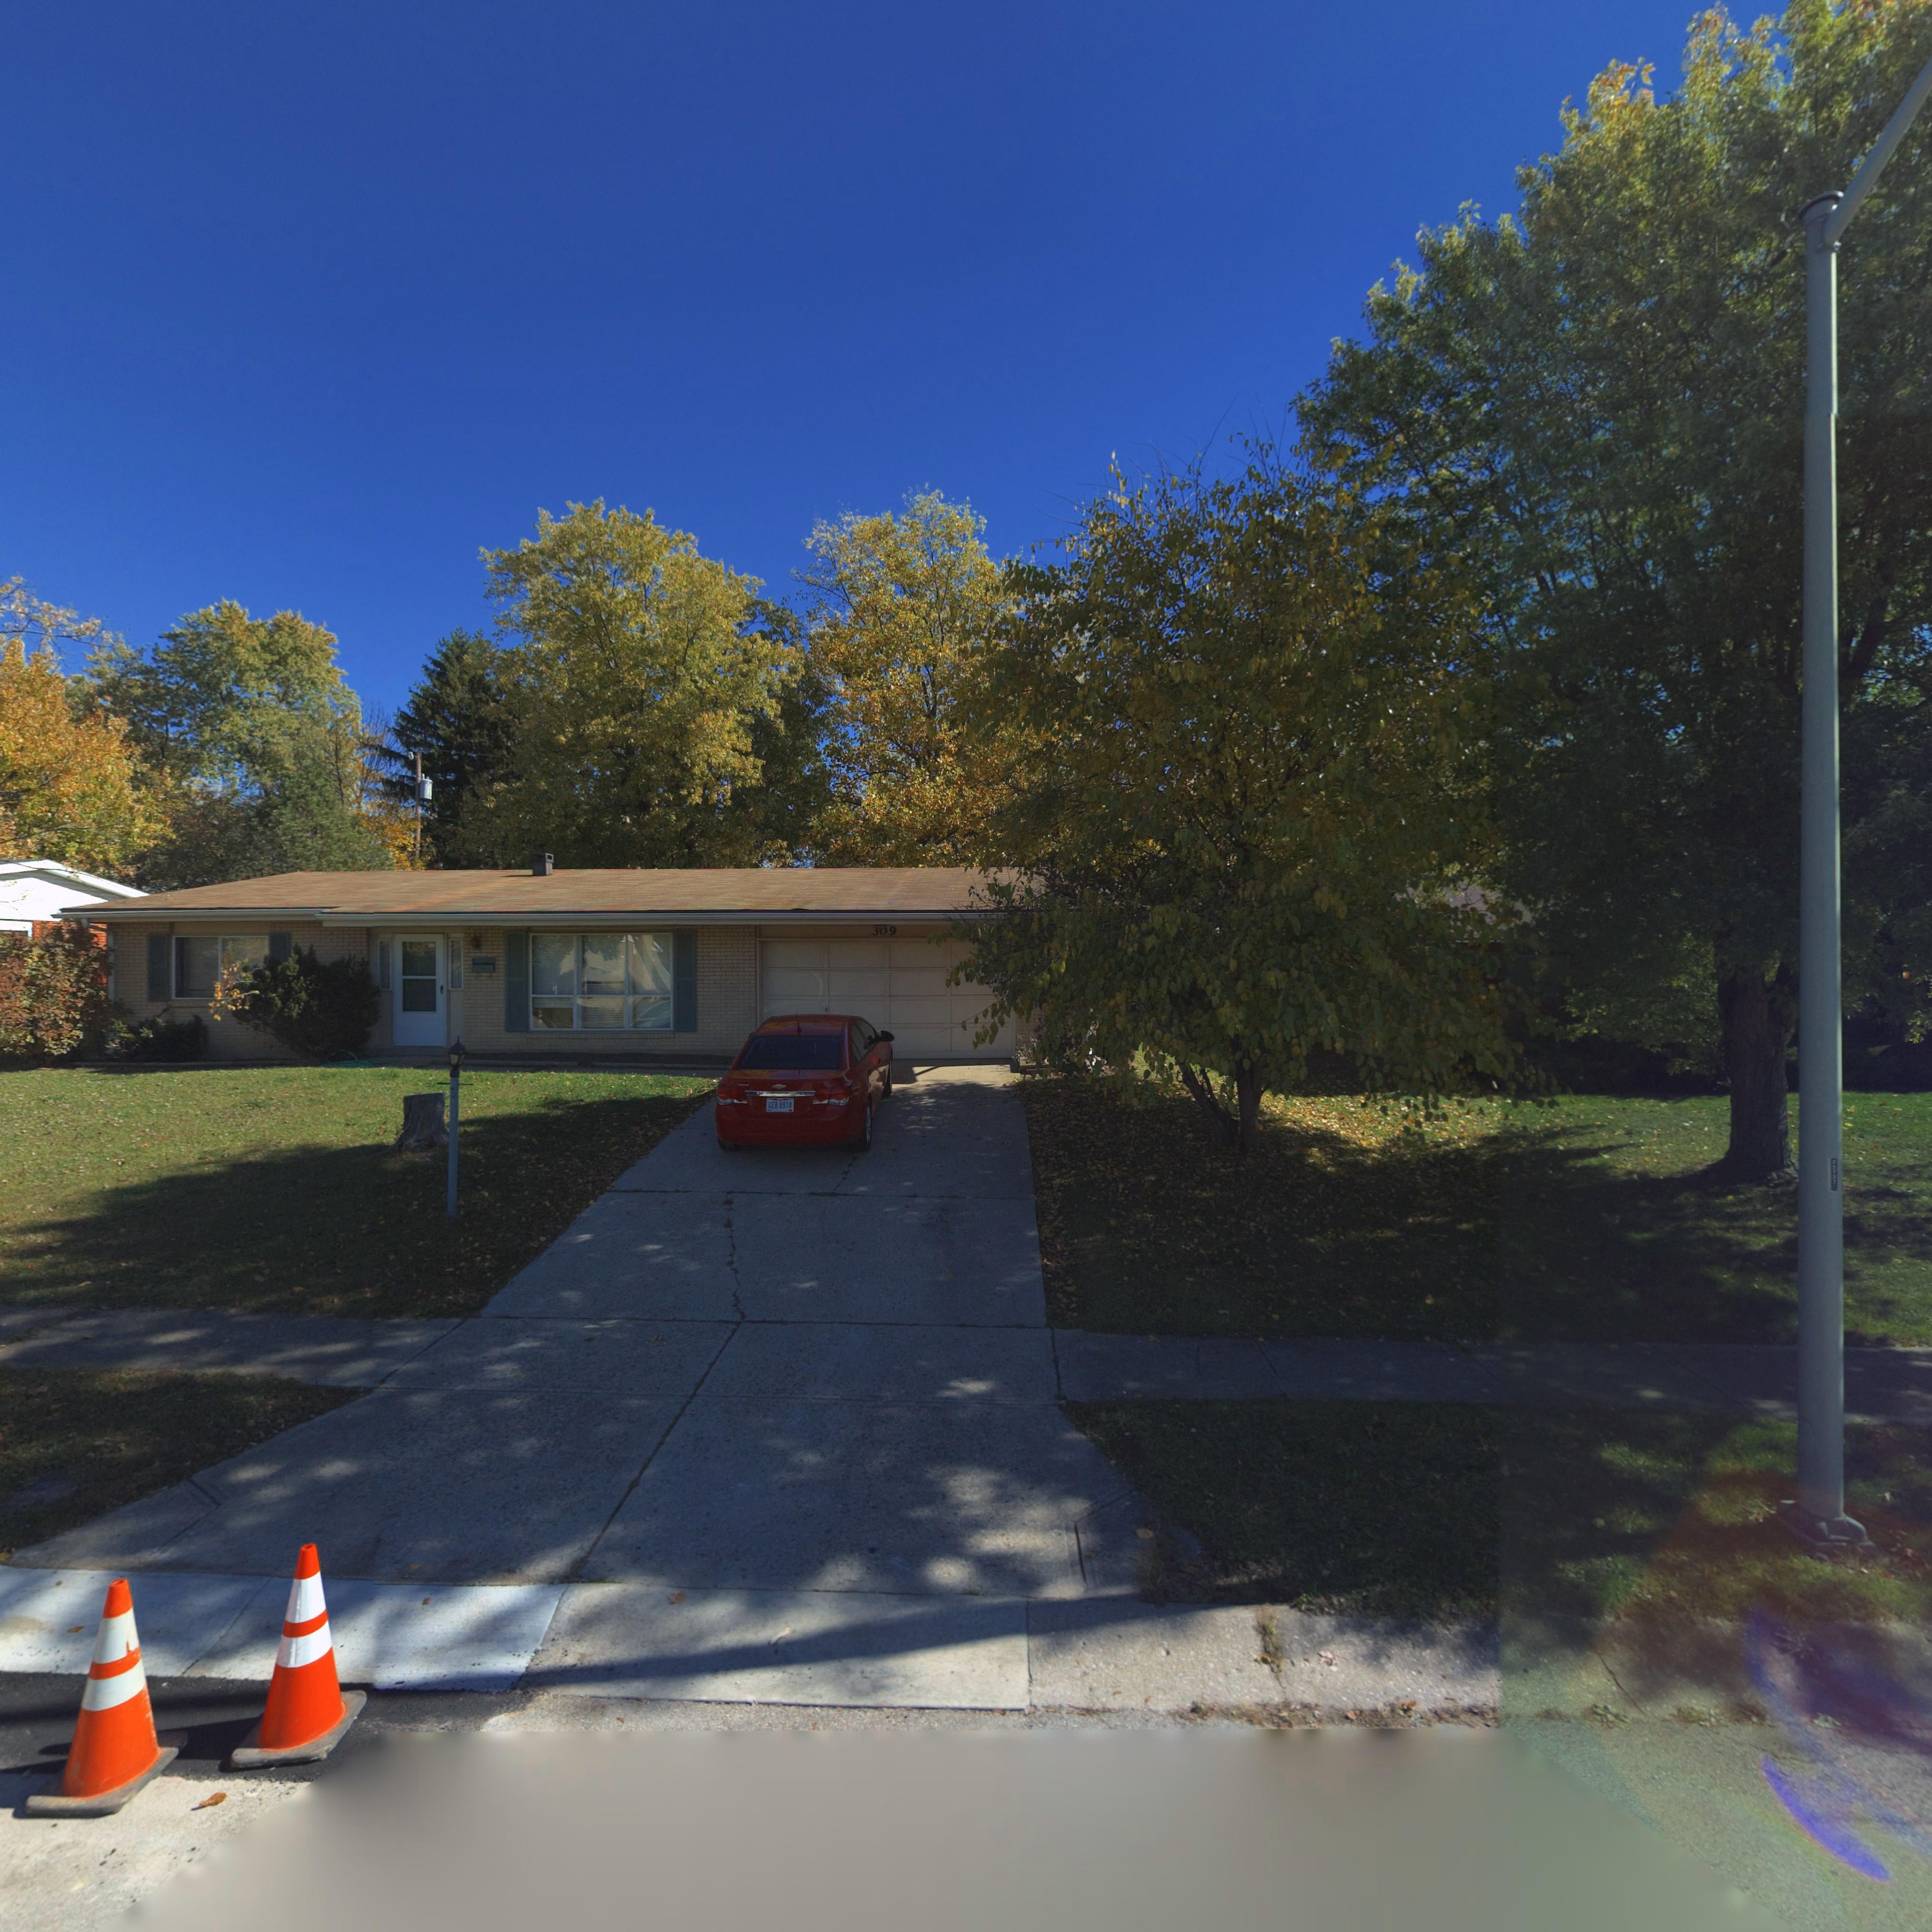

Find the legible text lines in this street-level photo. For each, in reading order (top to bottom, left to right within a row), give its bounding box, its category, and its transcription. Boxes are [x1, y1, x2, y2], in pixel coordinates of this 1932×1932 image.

[871, 926, 897, 936] StreetNumber: 3*9